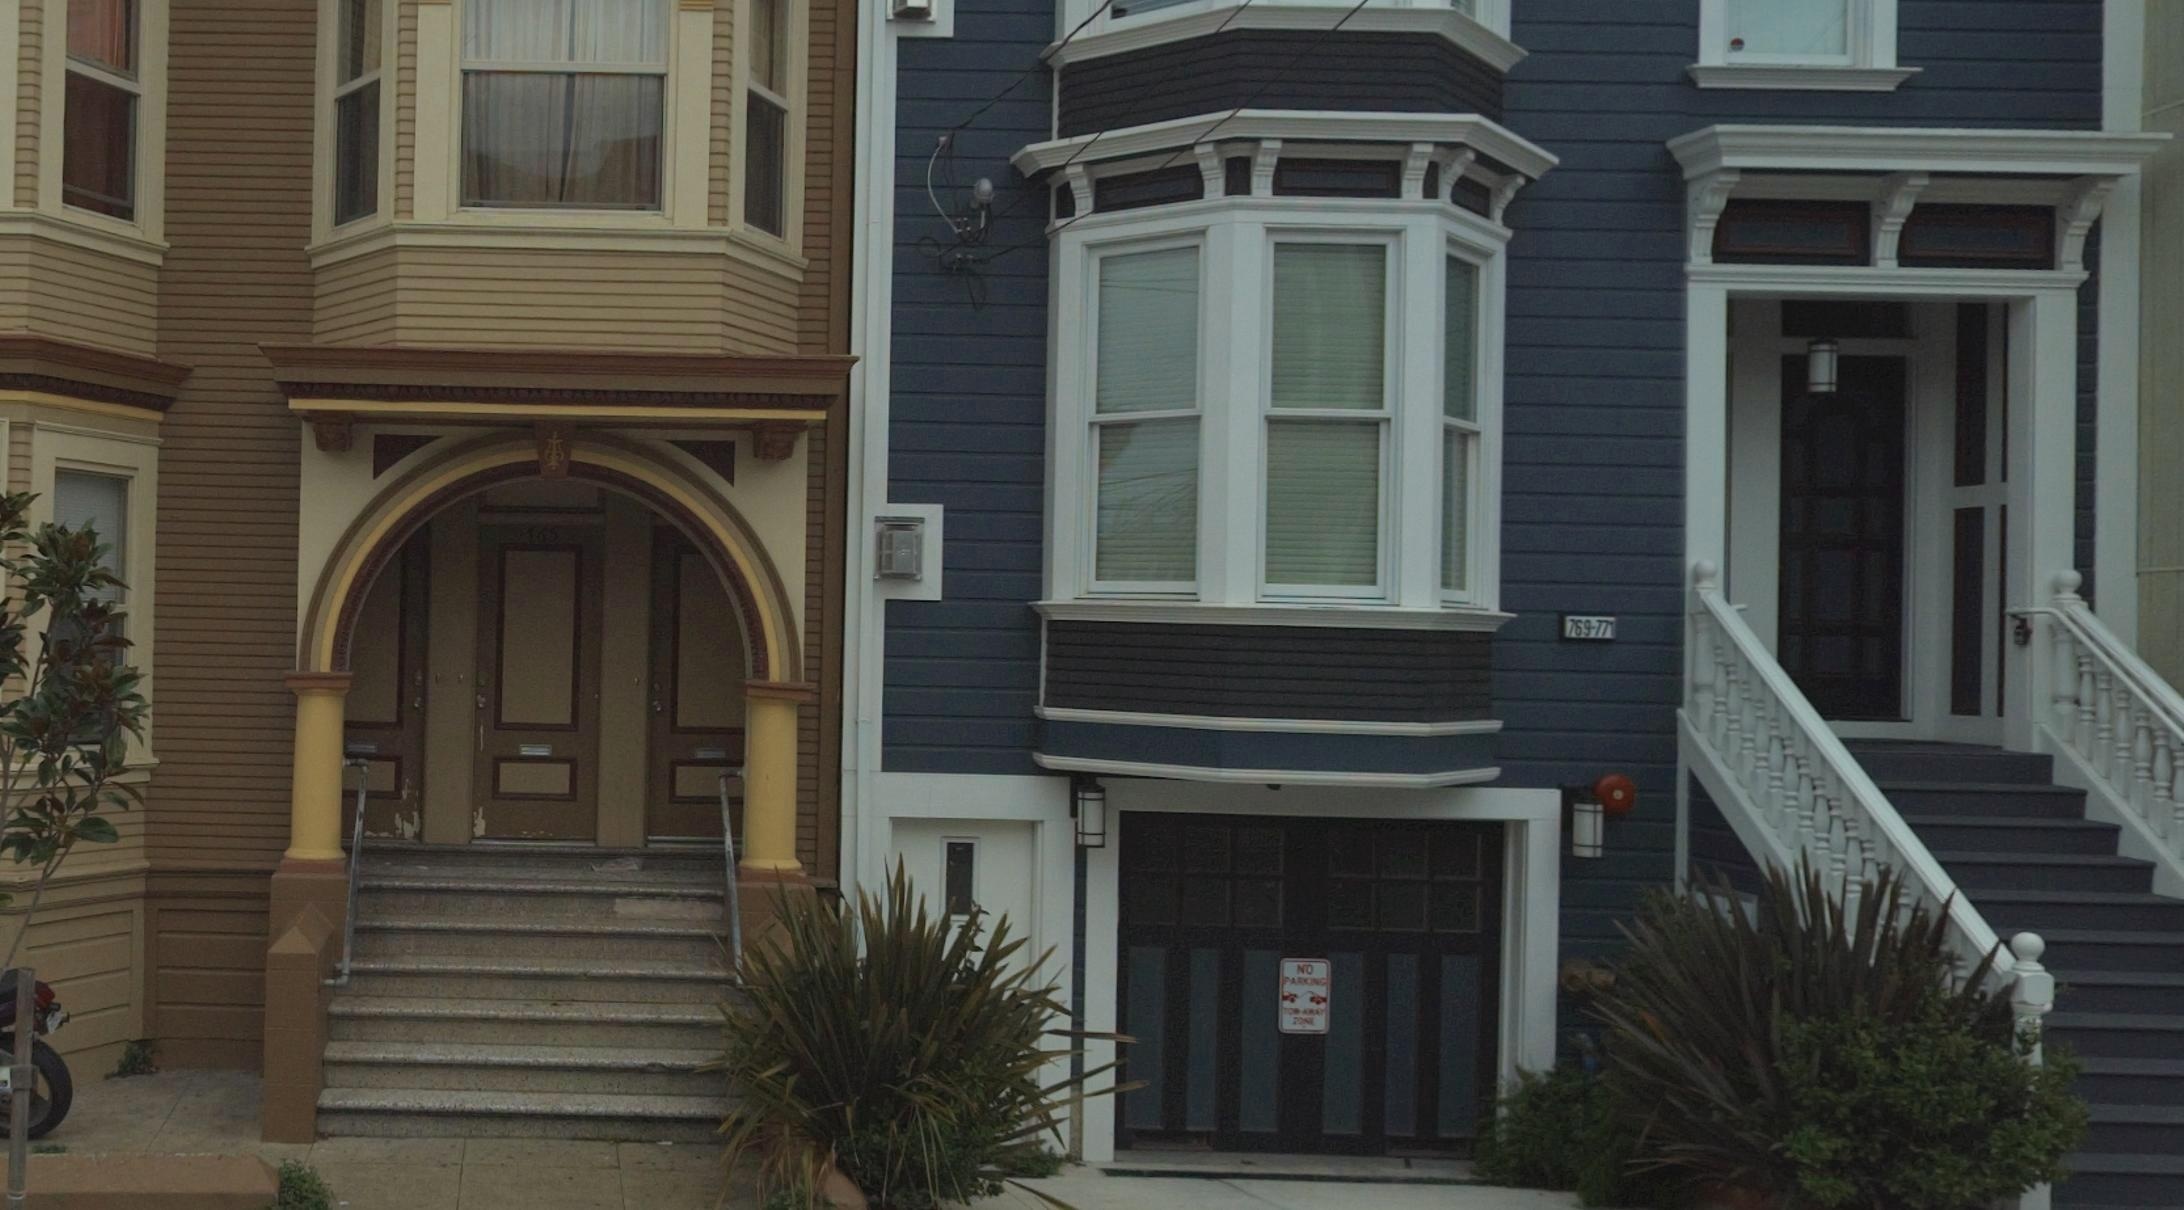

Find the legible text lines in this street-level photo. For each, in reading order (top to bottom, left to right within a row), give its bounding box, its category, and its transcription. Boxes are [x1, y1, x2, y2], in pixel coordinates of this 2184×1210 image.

[524, 524, 560, 546] StreetNumber: 765
[1565, 615, 1591, 638] StreetNumber: 769
[1594, 618, 1615, 638] StreetNumber: 771
[1295, 963, 1313, 976] None: NO
[1282, 975, 1327, 987] None: PARKING
[1292, 1015, 1315, 1026] None: ZONE